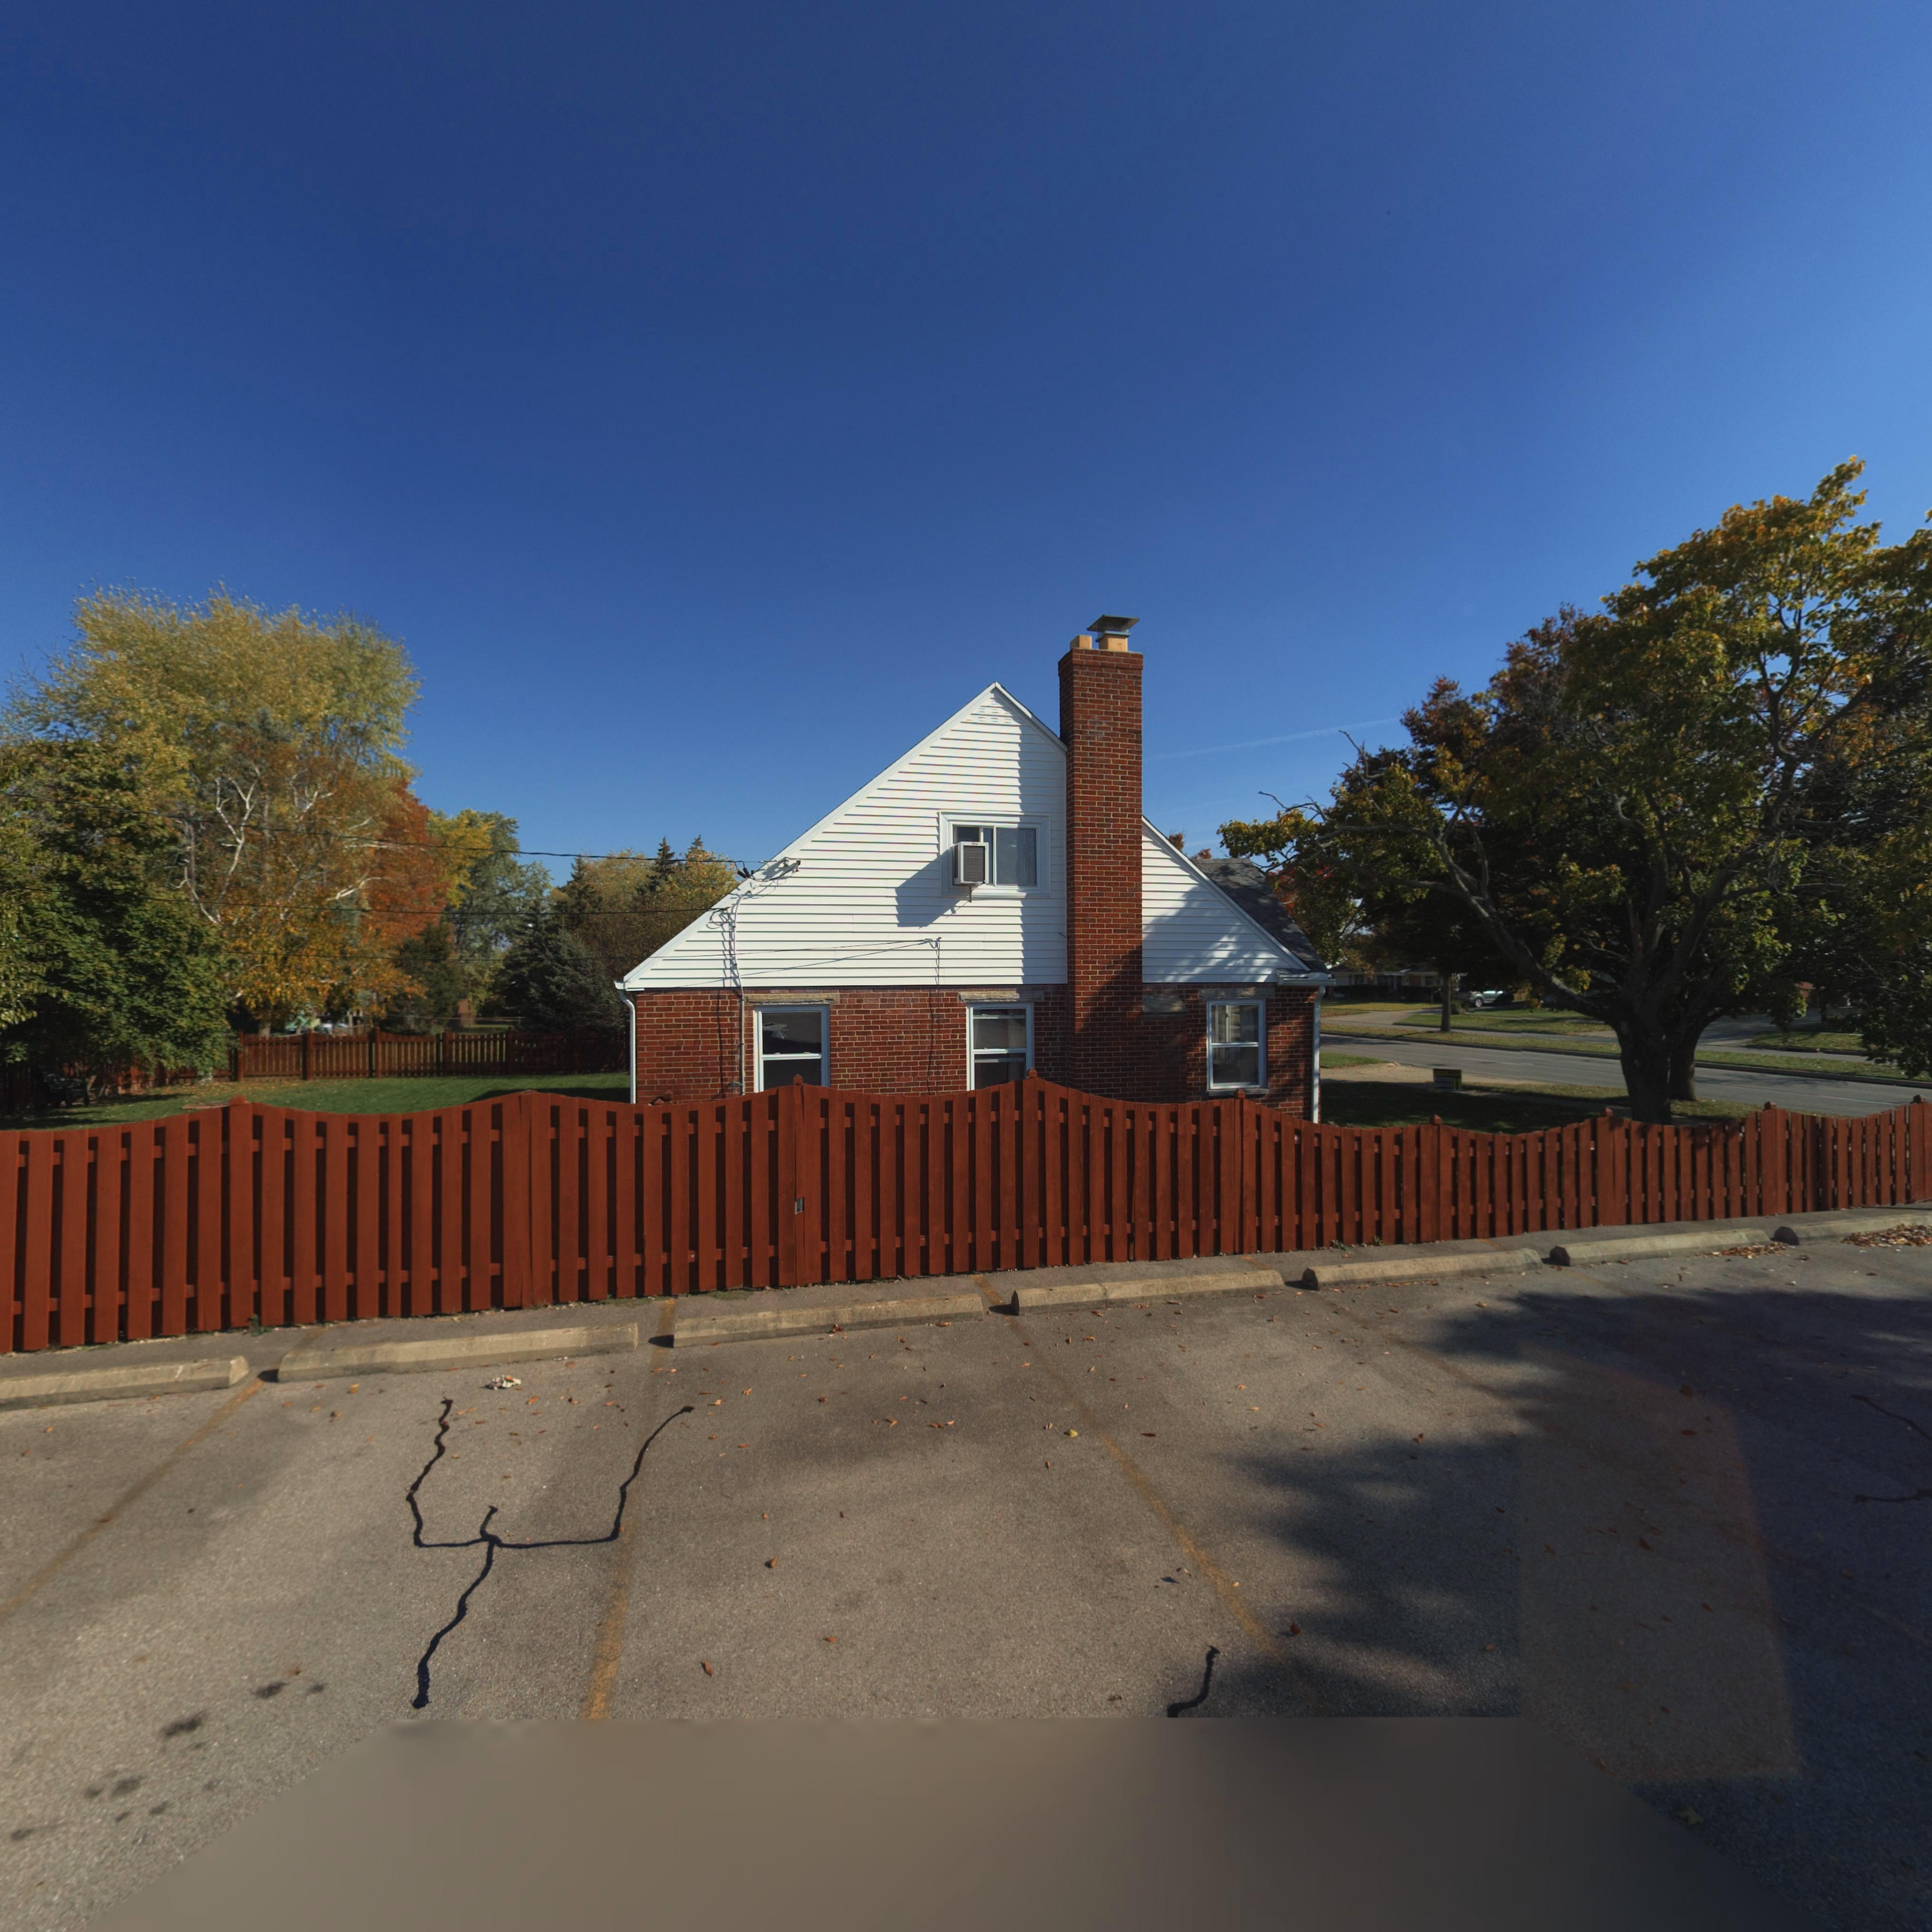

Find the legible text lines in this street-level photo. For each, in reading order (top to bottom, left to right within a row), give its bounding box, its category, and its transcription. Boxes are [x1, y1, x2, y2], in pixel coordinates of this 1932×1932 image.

[1443, 1082, 1452, 1088] None: CES
[1450, 1077, 1461, 1089] None: 11